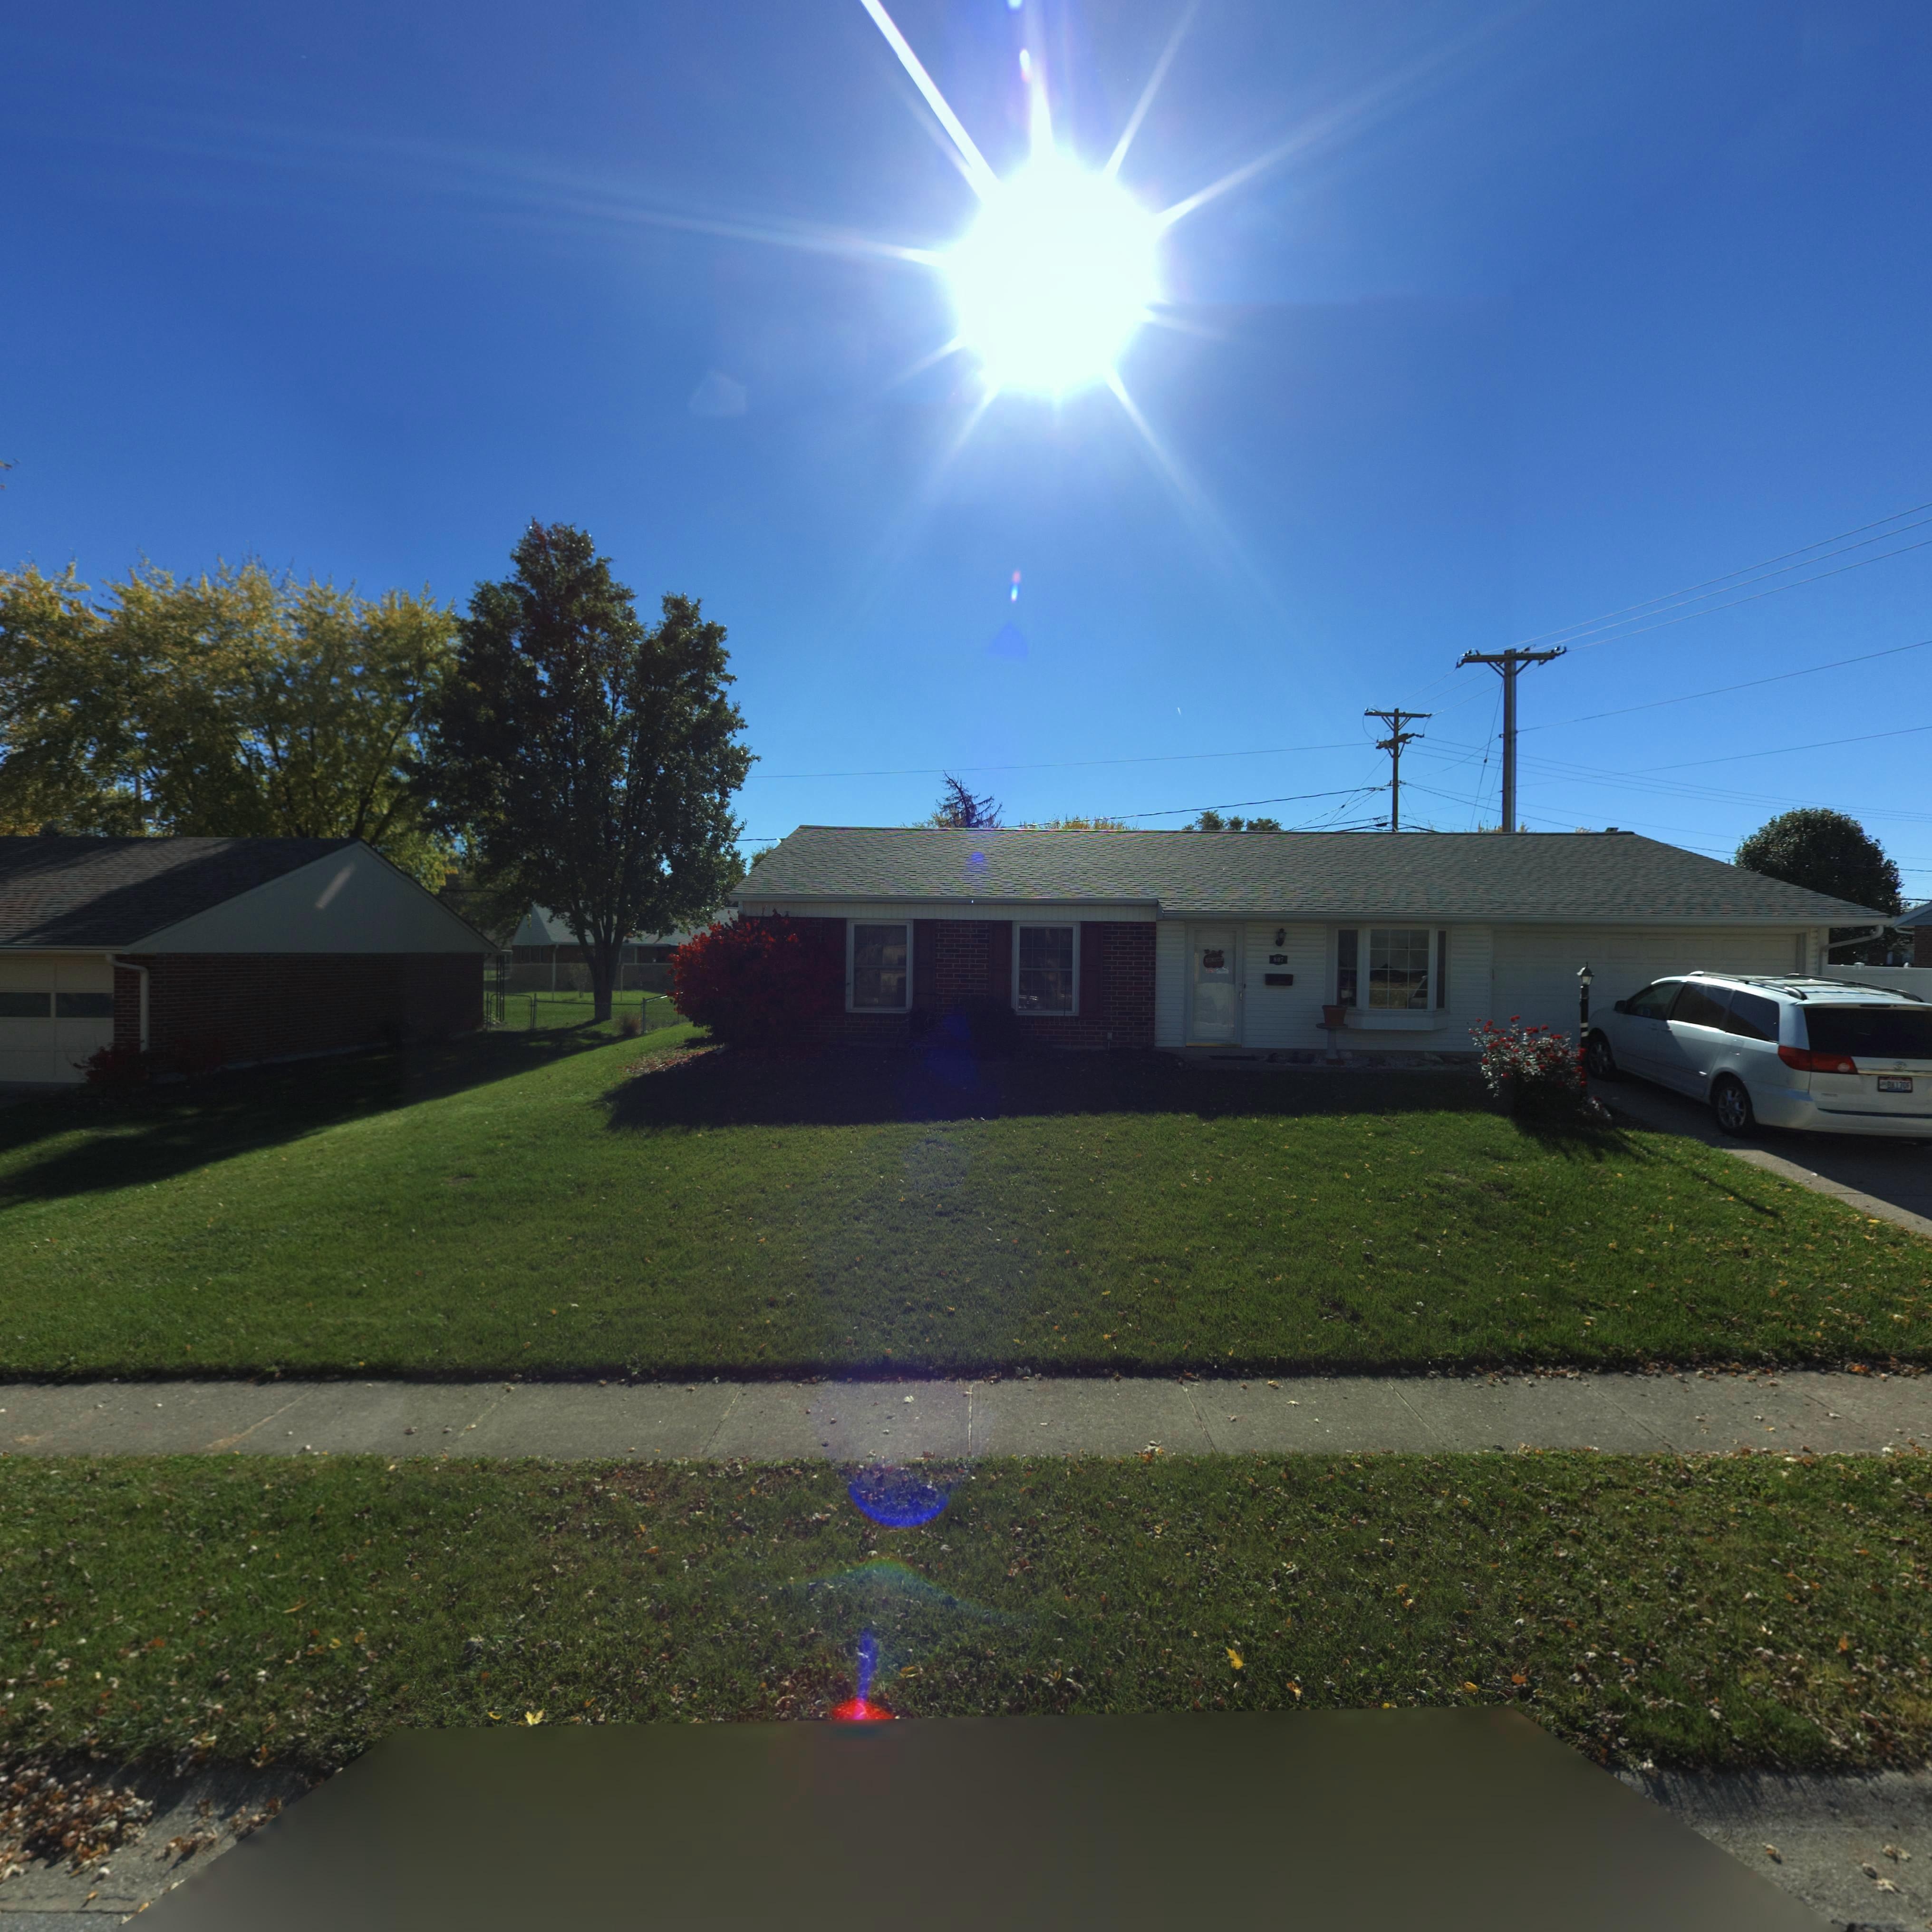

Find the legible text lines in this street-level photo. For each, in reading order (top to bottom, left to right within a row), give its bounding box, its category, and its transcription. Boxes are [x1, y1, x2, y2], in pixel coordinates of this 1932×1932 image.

[1273, 956, 1284, 963] StreetNumber: 807